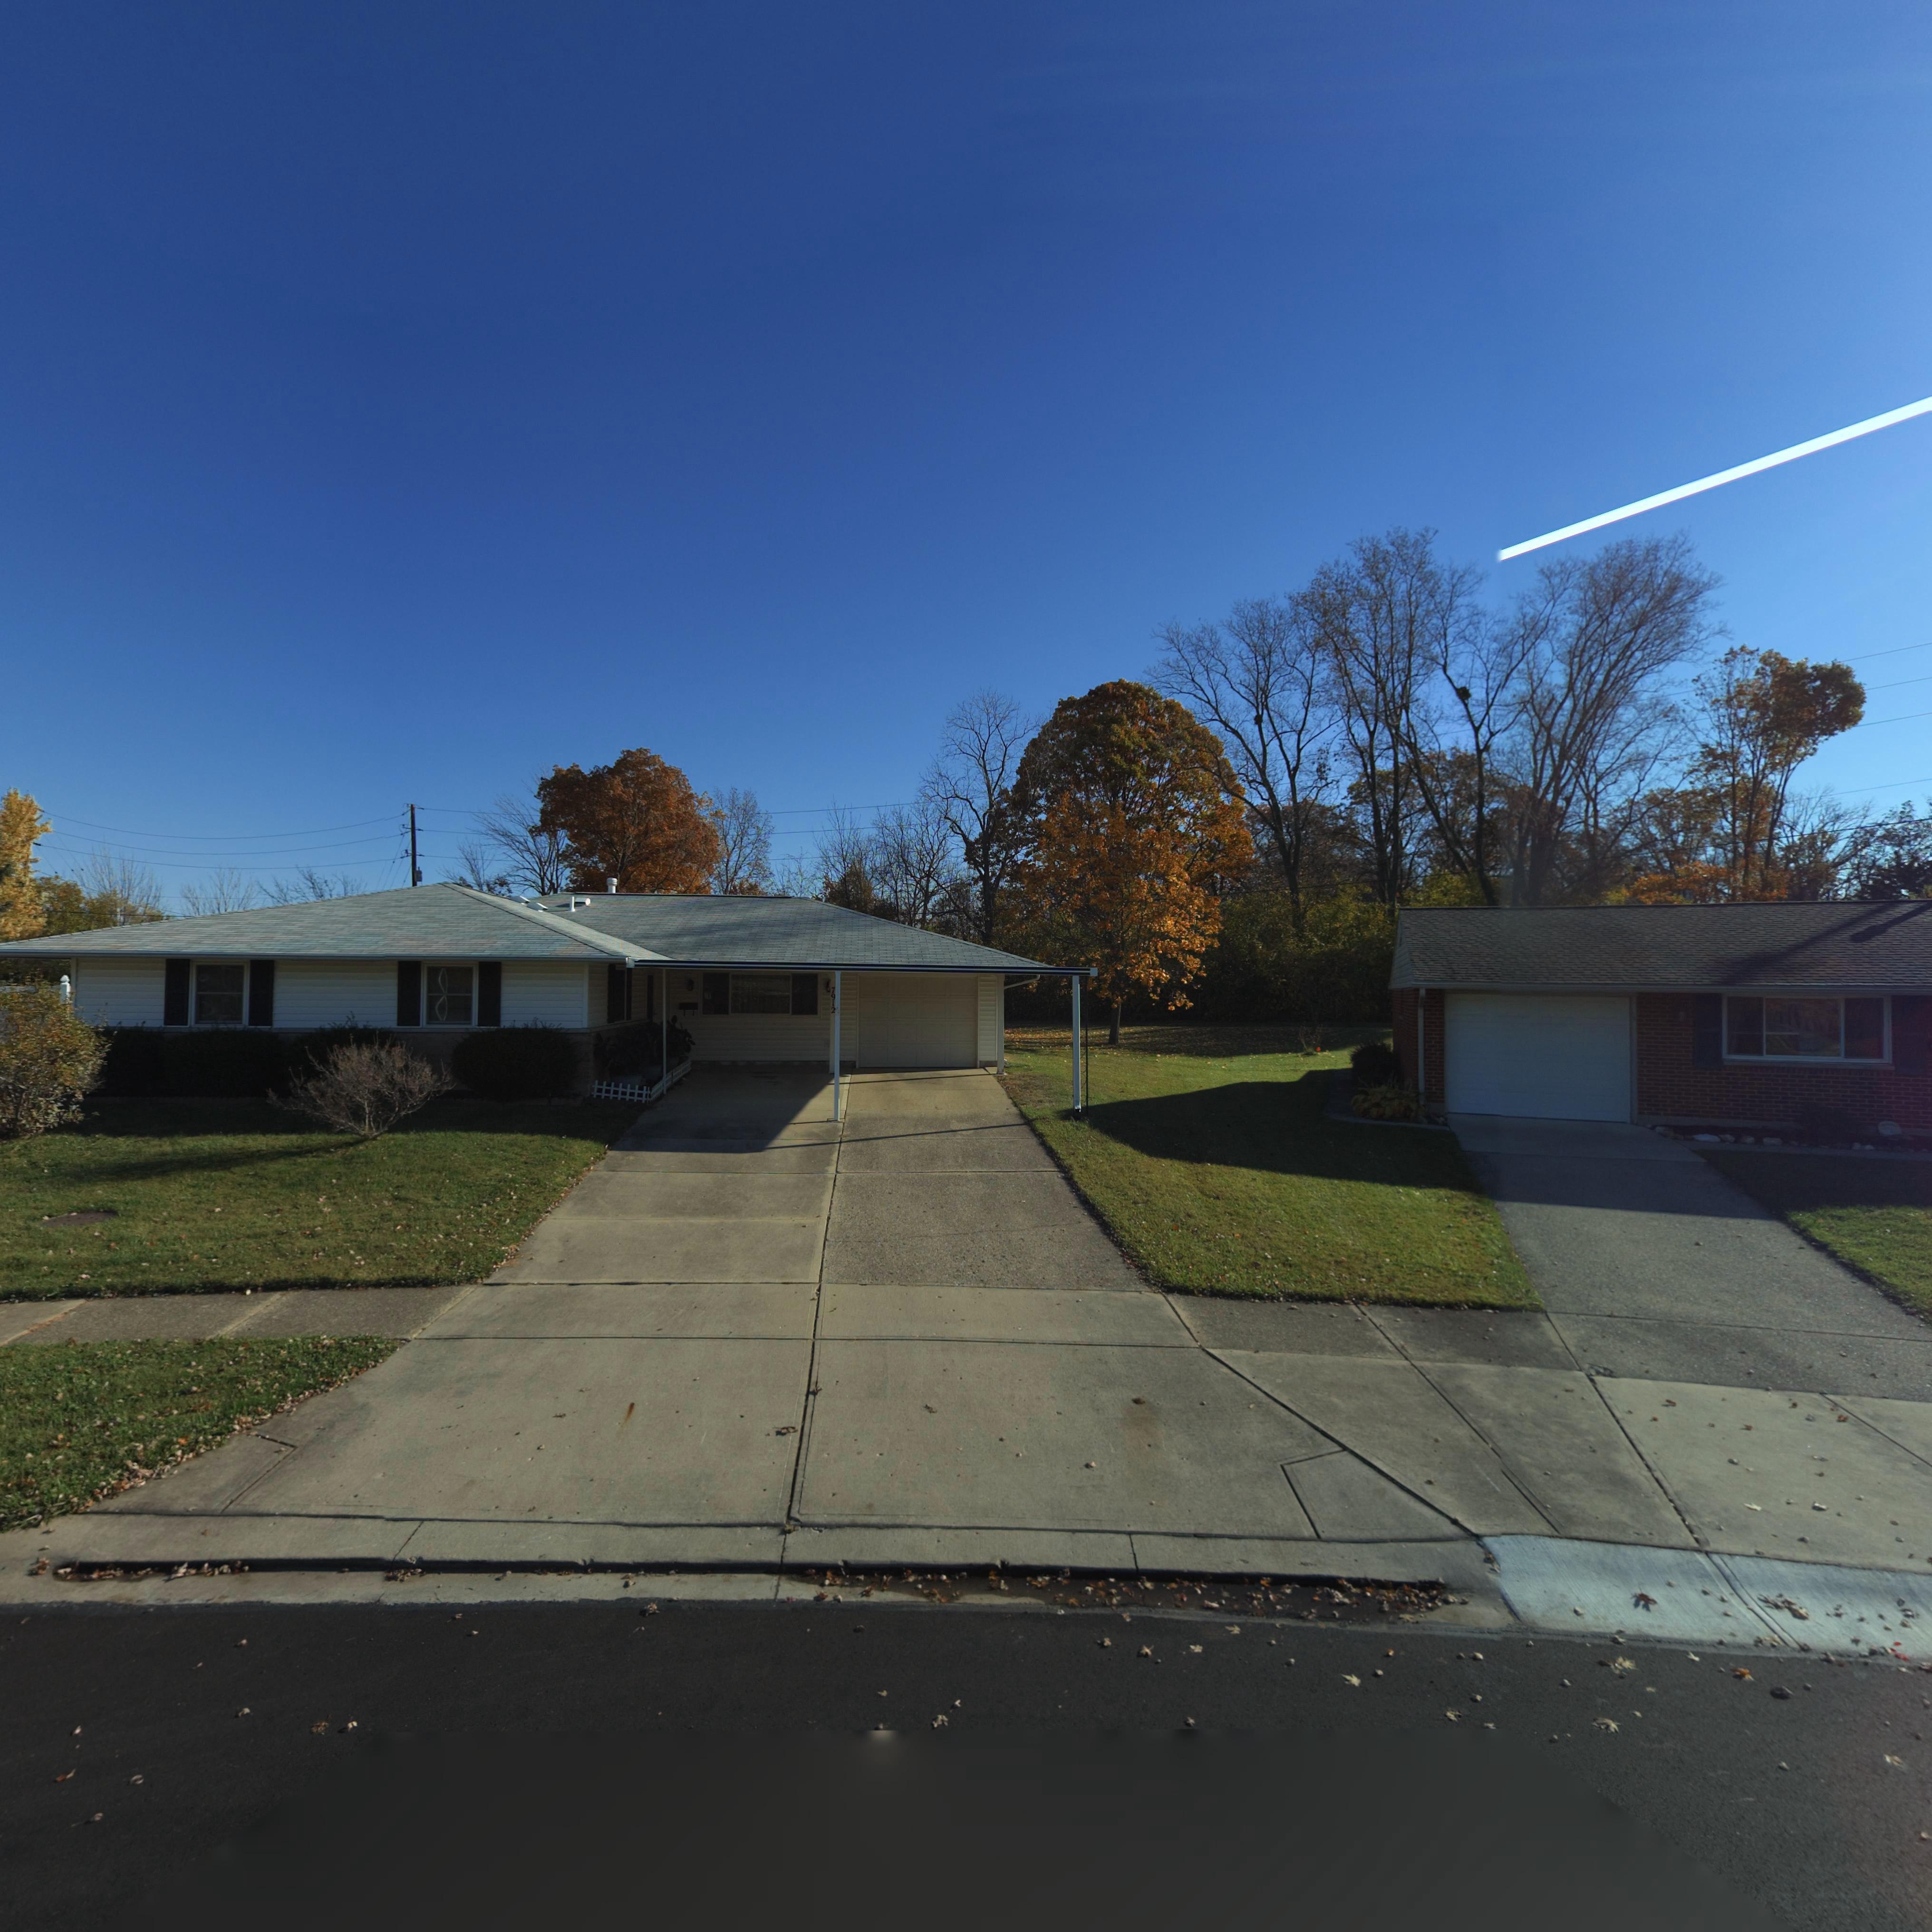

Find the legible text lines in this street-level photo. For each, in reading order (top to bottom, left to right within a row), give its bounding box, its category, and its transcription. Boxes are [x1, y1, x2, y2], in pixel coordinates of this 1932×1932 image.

[830, 986, 837, 1014] StreetNumber: 7912